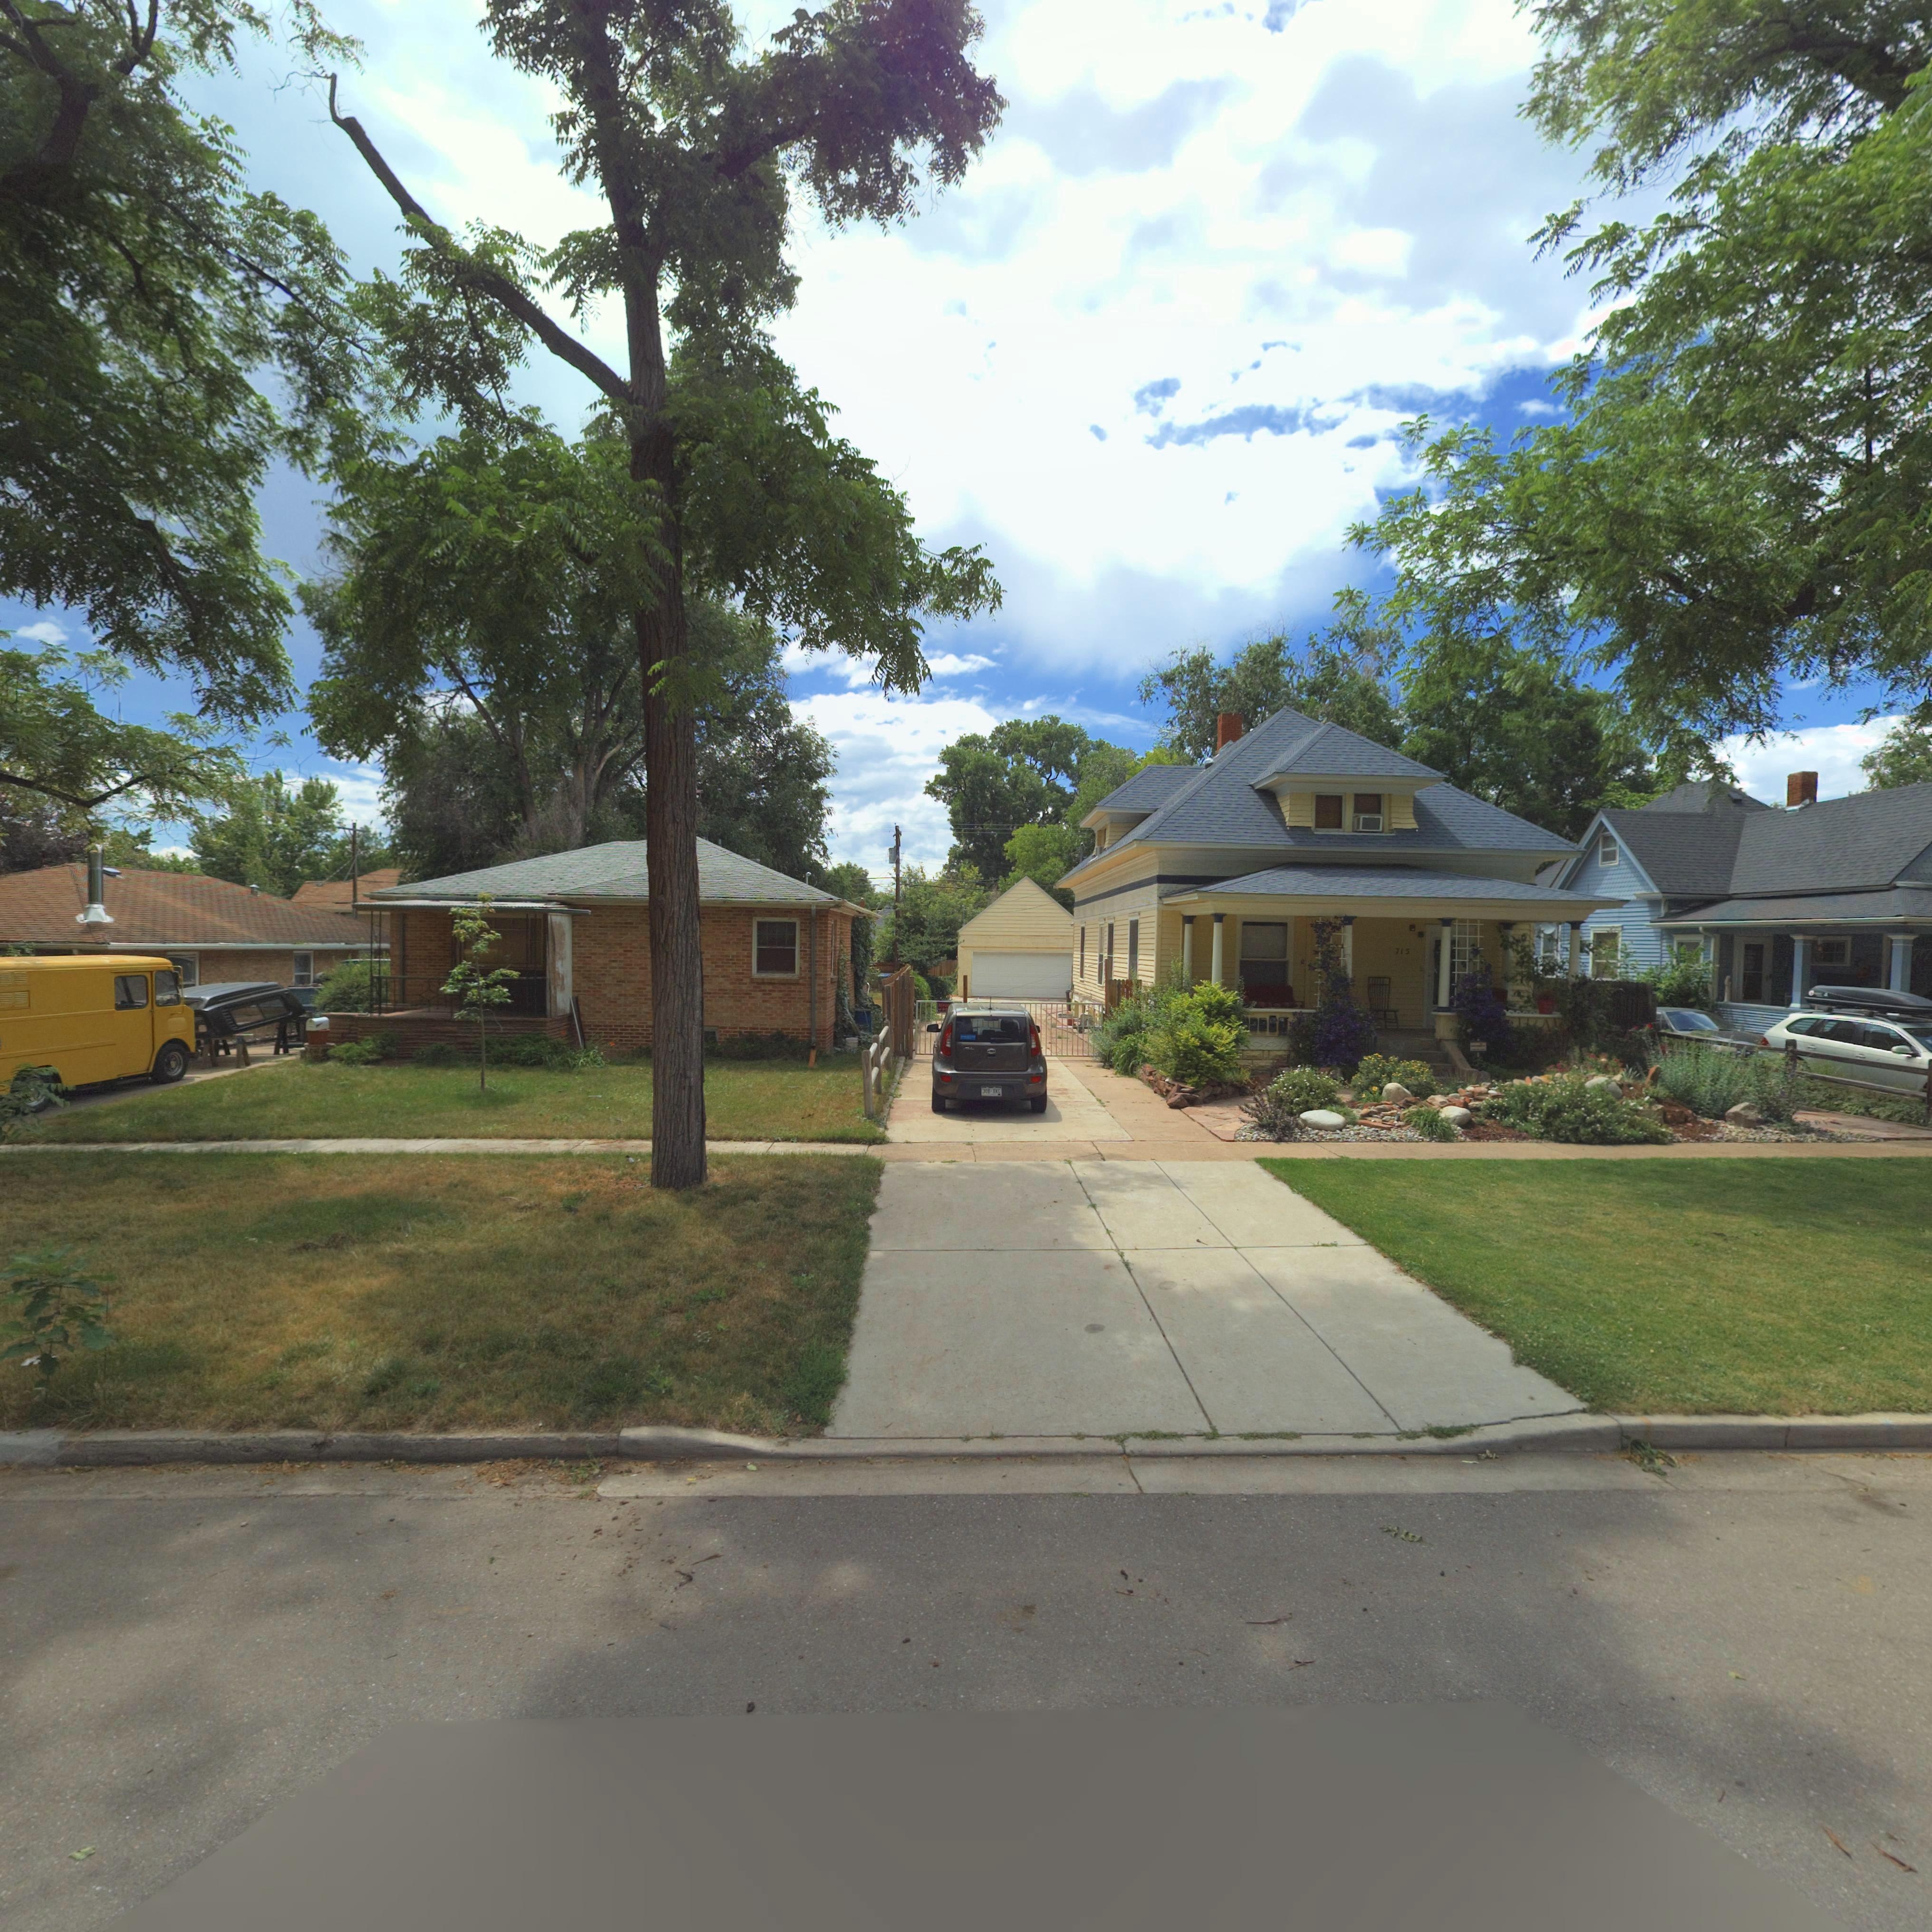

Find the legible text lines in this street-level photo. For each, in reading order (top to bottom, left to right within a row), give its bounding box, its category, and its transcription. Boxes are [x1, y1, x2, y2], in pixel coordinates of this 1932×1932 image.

[1394, 947, 1410, 955] StreetNumber: 715